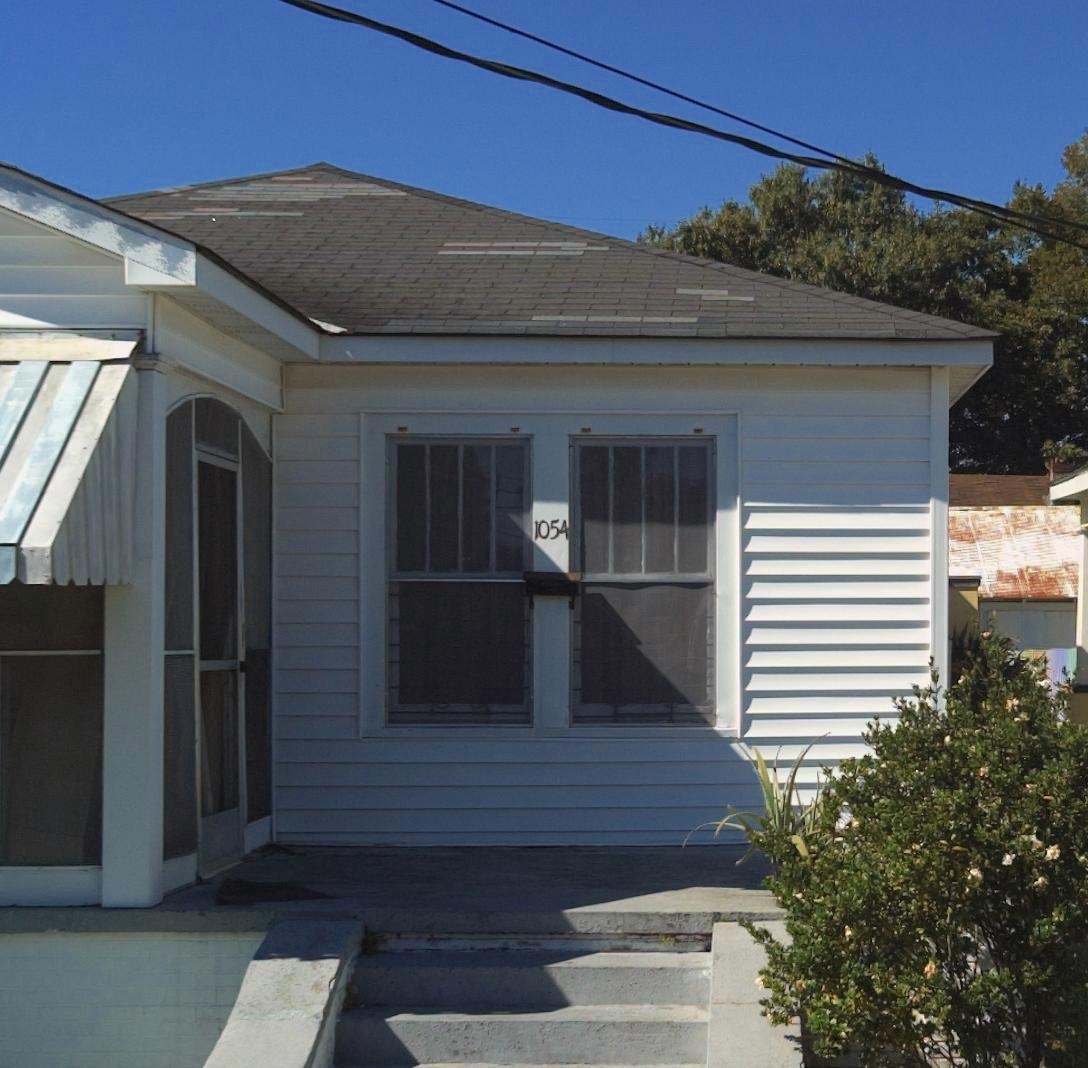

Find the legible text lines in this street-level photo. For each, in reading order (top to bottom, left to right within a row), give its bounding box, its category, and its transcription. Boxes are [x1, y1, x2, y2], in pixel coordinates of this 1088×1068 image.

[533, 517, 570, 542] StreetNumber: 1054